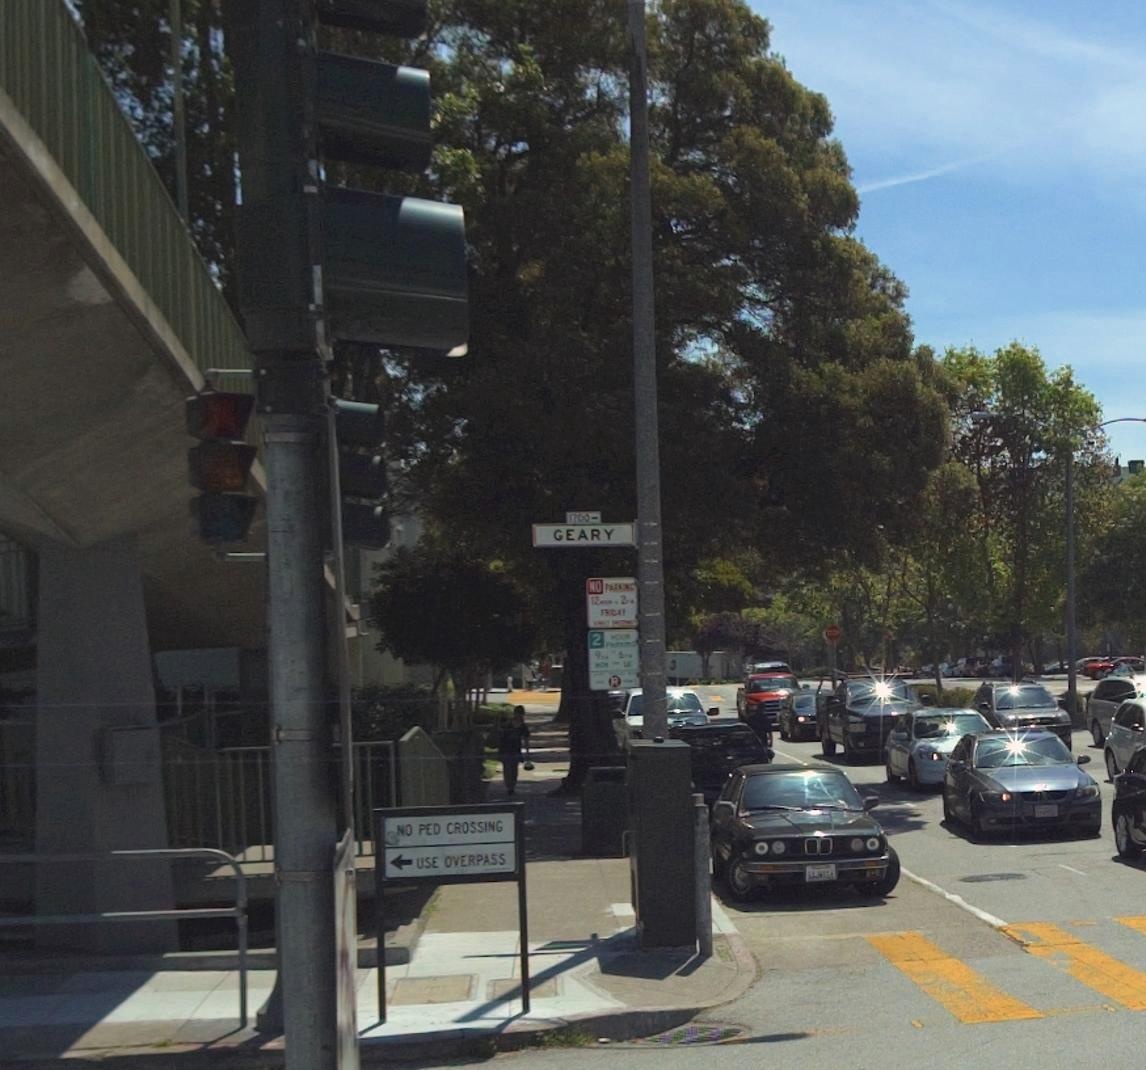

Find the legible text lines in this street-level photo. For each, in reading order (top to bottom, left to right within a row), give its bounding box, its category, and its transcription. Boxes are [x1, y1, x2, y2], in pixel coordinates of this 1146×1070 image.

[567, 511, 598, 524] StreetNumberRange: 1700->
[551, 525, 615, 544] StreetName: GEARY
[587, 578, 636, 594] None: NO PARKING
[589, 594, 603, 606] None: 12
[620, 595, 629, 605] None: 2
[590, 632, 602, 646] None: 2
[593, 649, 603, 660] None: 9
[617, 649, 627, 659] None: 6
[395, 819, 504, 838] None: NO PED COSSING
[388, 851, 507, 871] None: <-USE OVERPASS